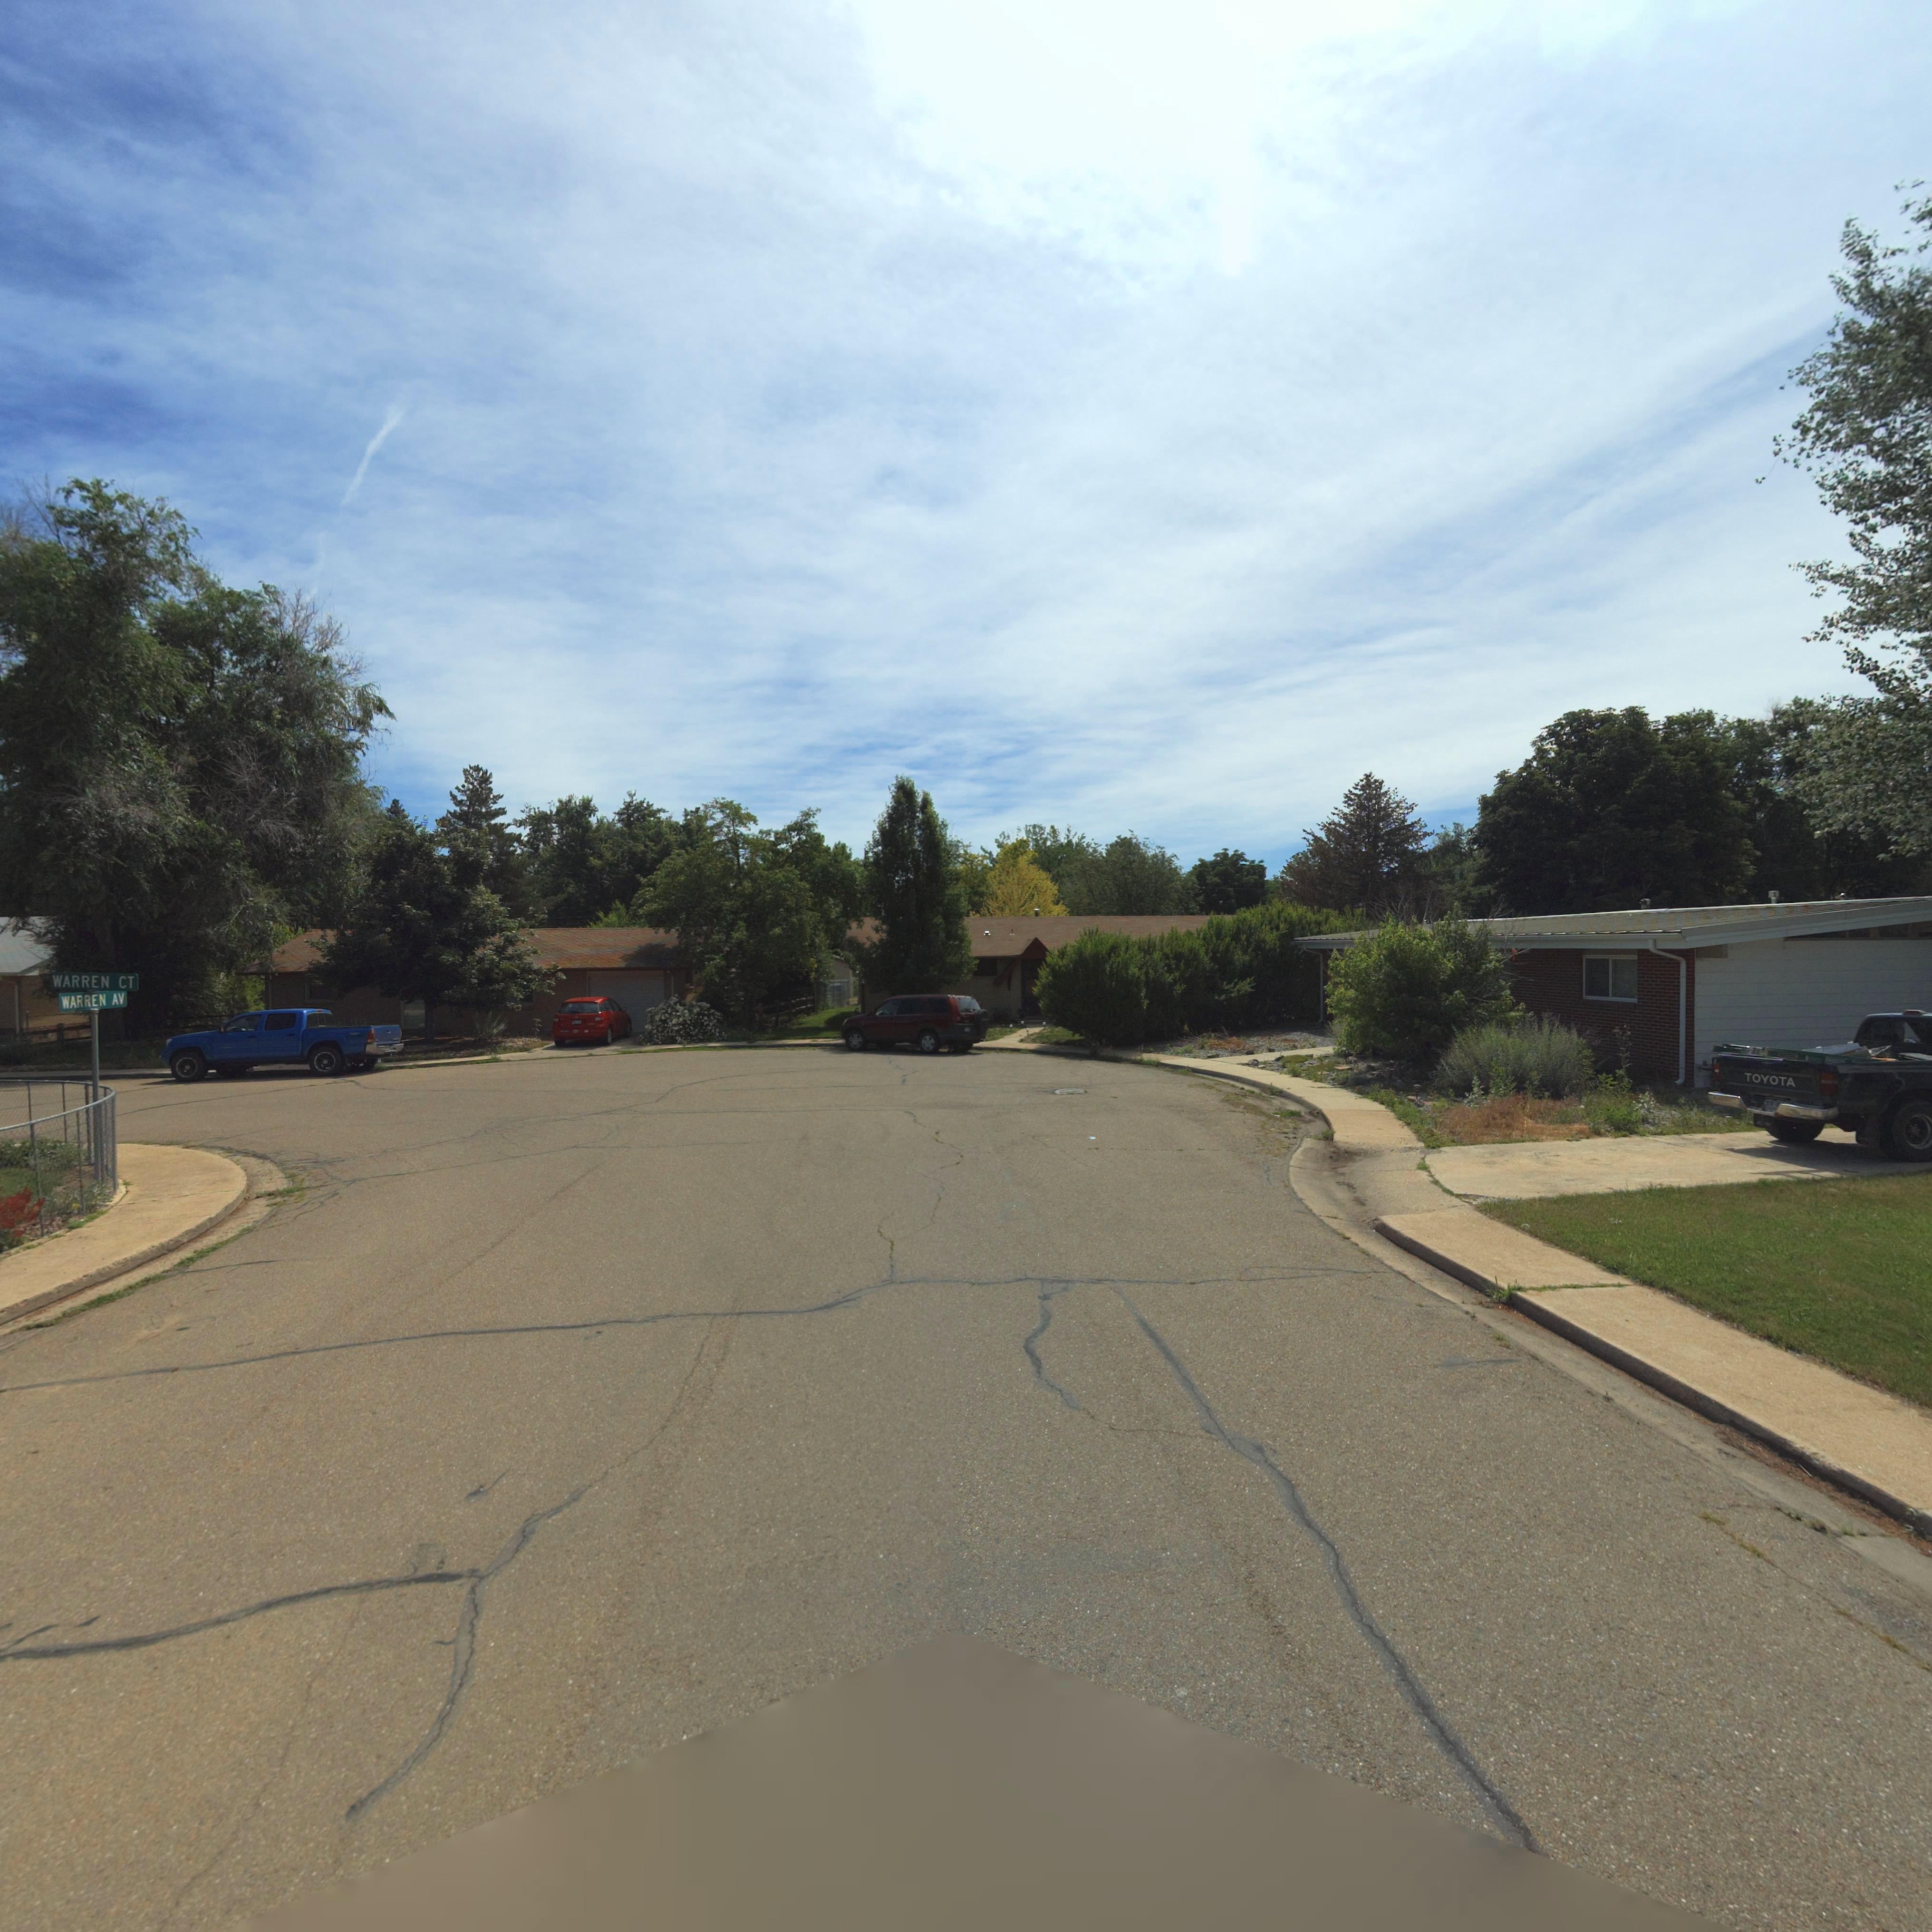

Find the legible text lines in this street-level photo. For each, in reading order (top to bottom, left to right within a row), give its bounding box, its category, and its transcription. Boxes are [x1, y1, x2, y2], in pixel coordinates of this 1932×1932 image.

[52, 975, 135, 988] StreetName: WARREN CT
[61, 992, 125, 1009] StreetName: WARREN AV